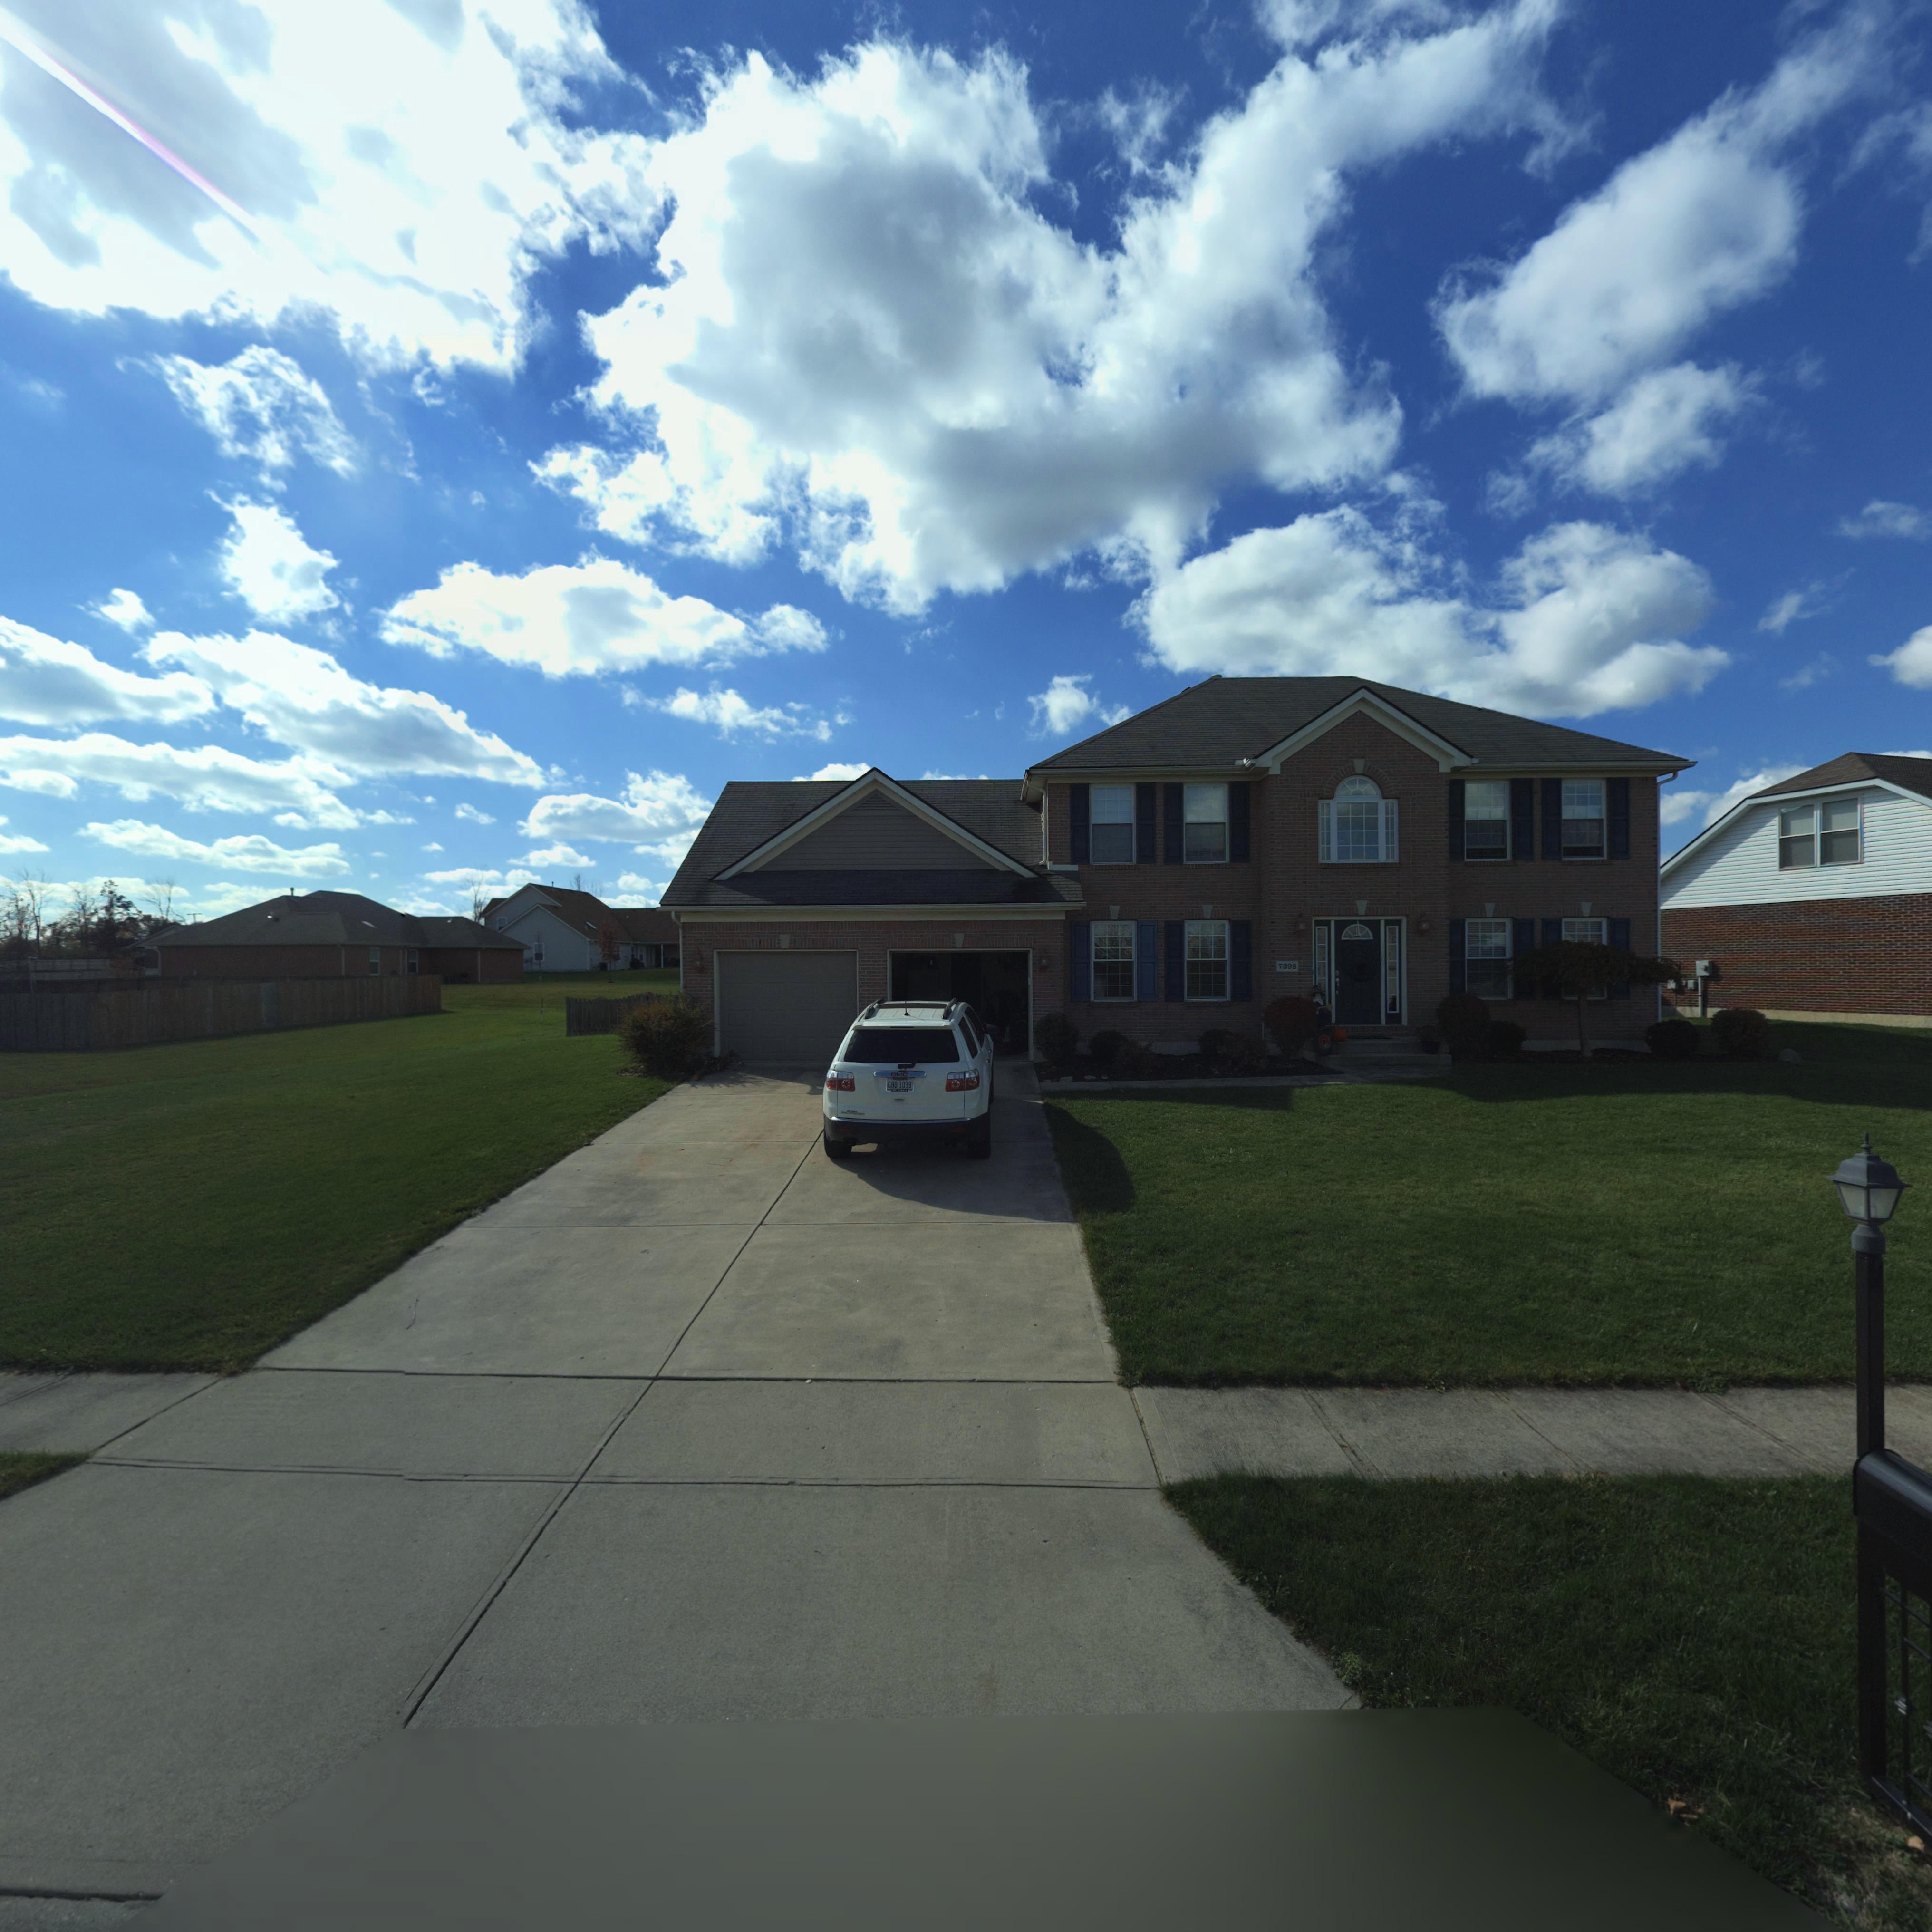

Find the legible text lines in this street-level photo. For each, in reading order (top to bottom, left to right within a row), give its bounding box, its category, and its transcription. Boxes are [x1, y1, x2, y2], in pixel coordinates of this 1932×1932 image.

[1277, 963, 1297, 970] StreetNumber: 7398